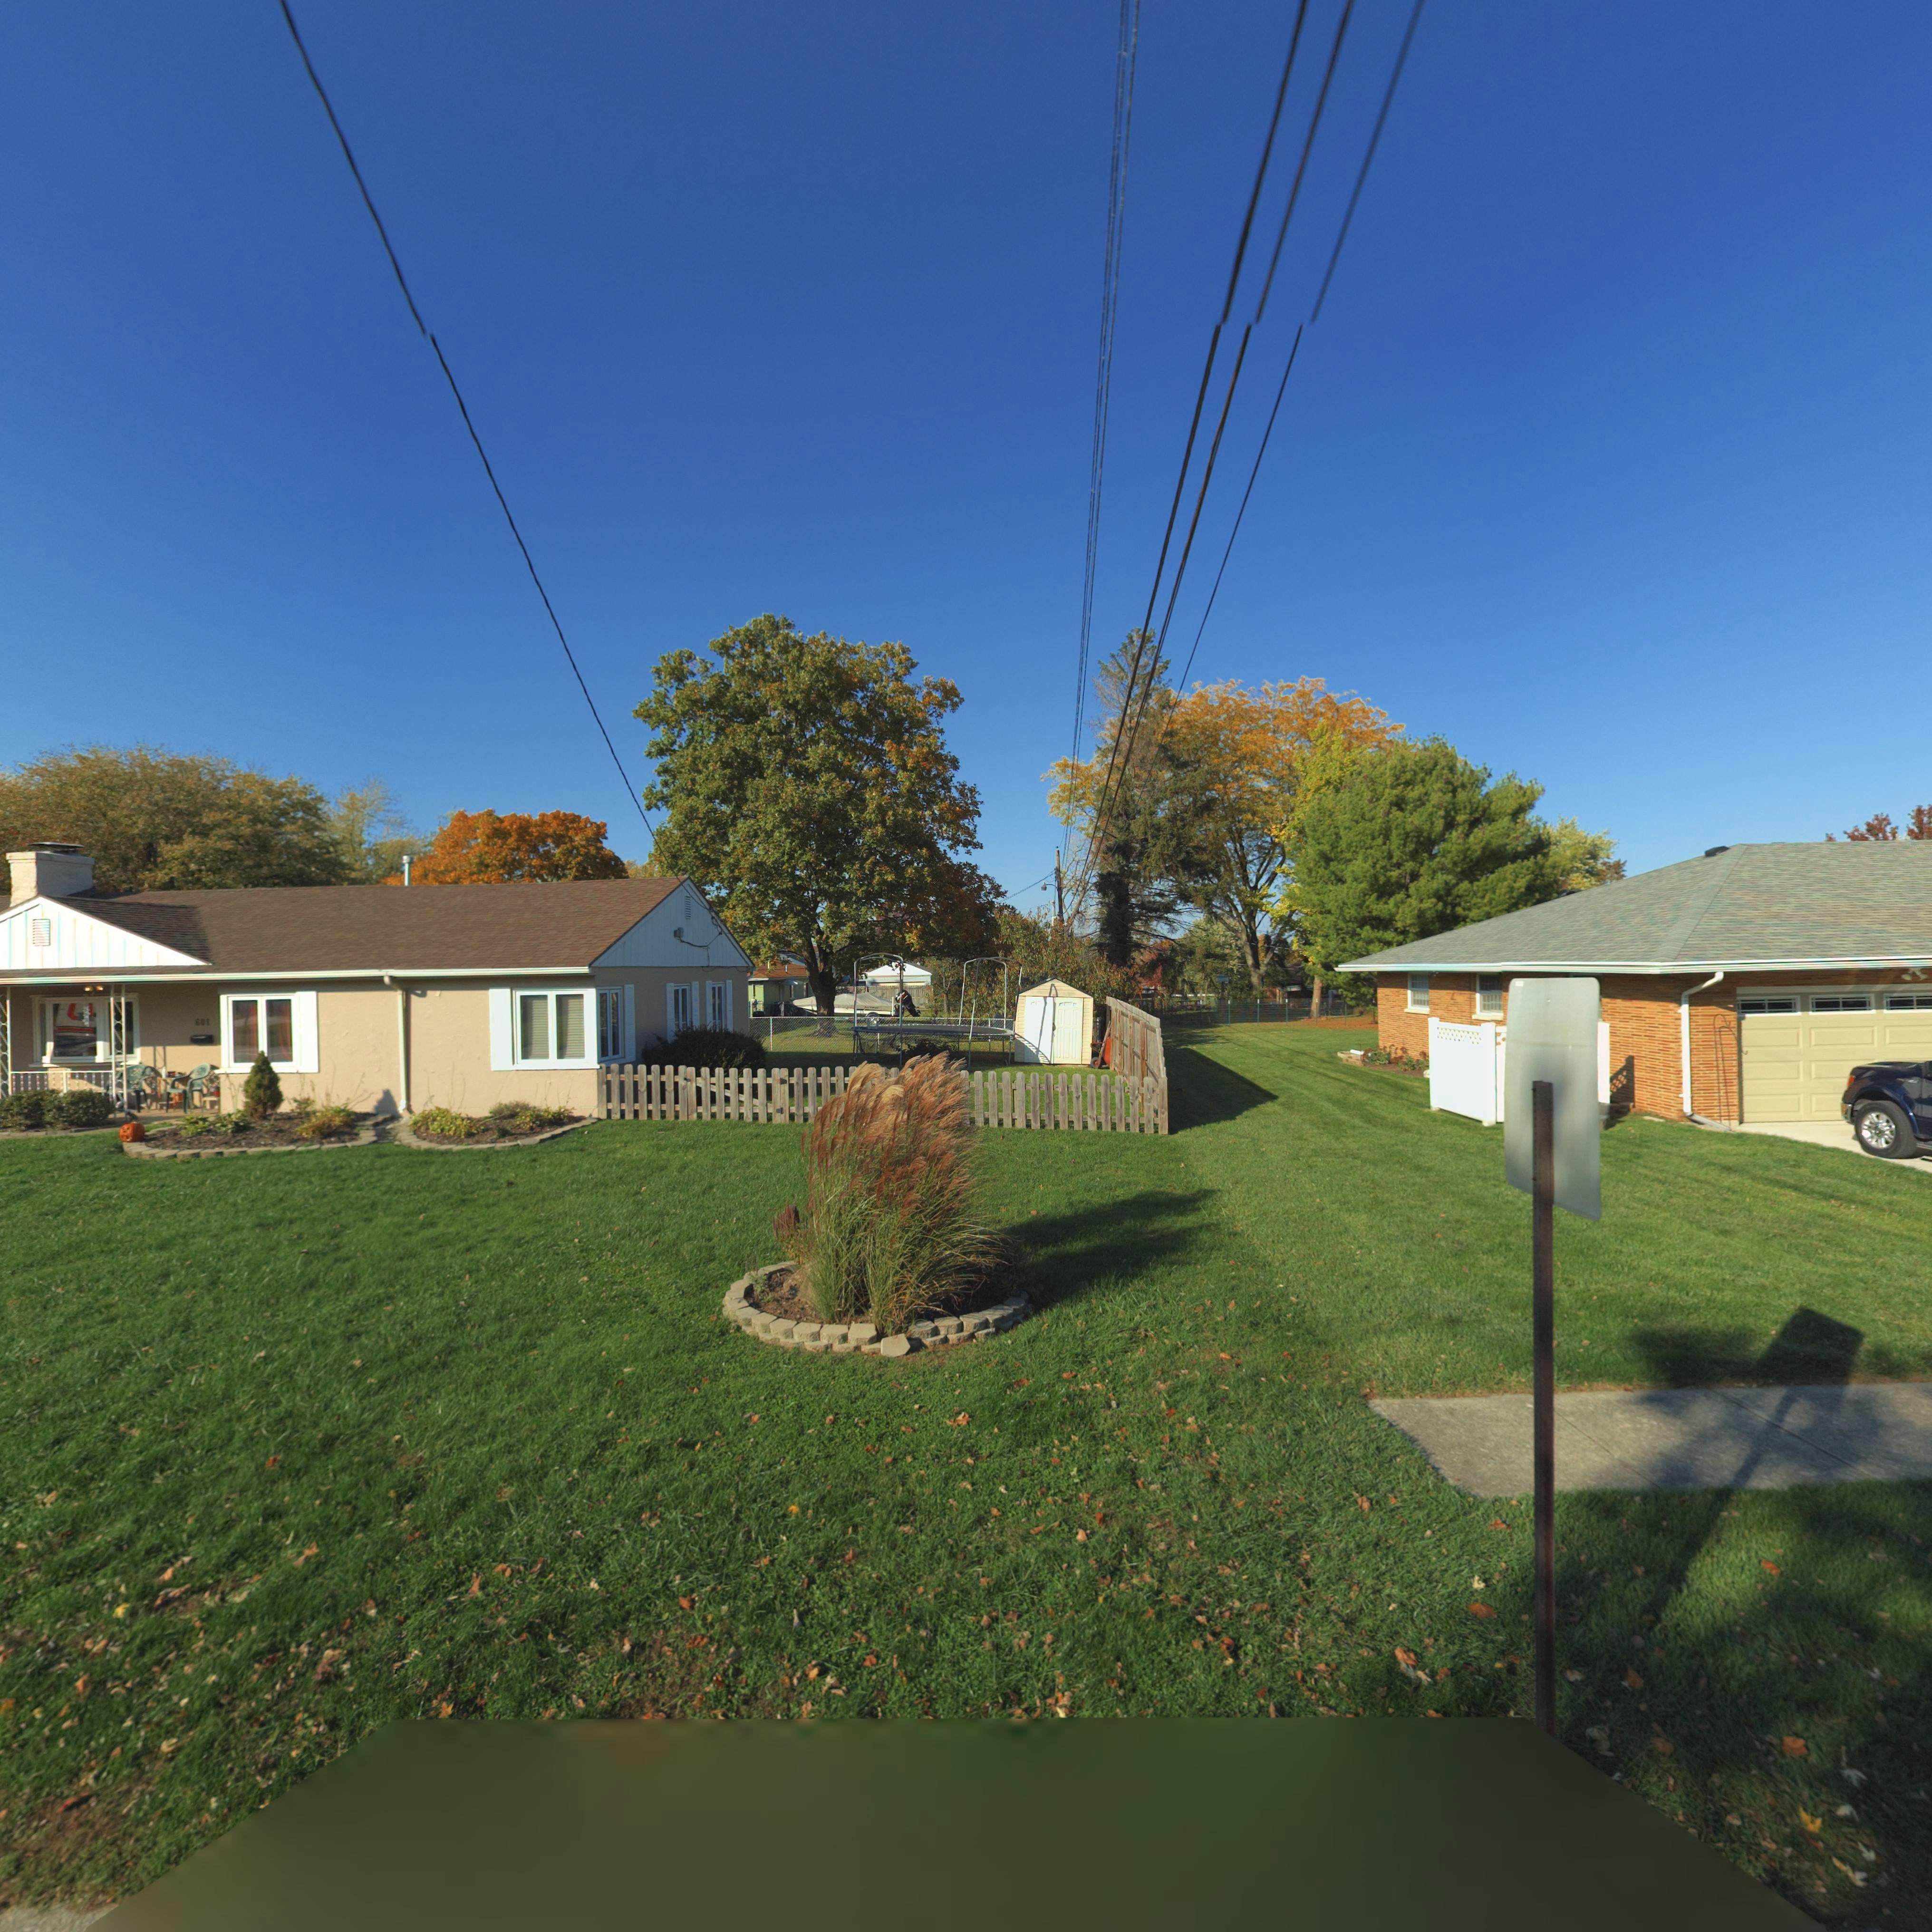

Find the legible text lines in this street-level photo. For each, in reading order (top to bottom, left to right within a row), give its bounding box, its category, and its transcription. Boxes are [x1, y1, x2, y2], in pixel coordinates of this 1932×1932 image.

[194, 1017, 210, 1027] StreetNumber: 601